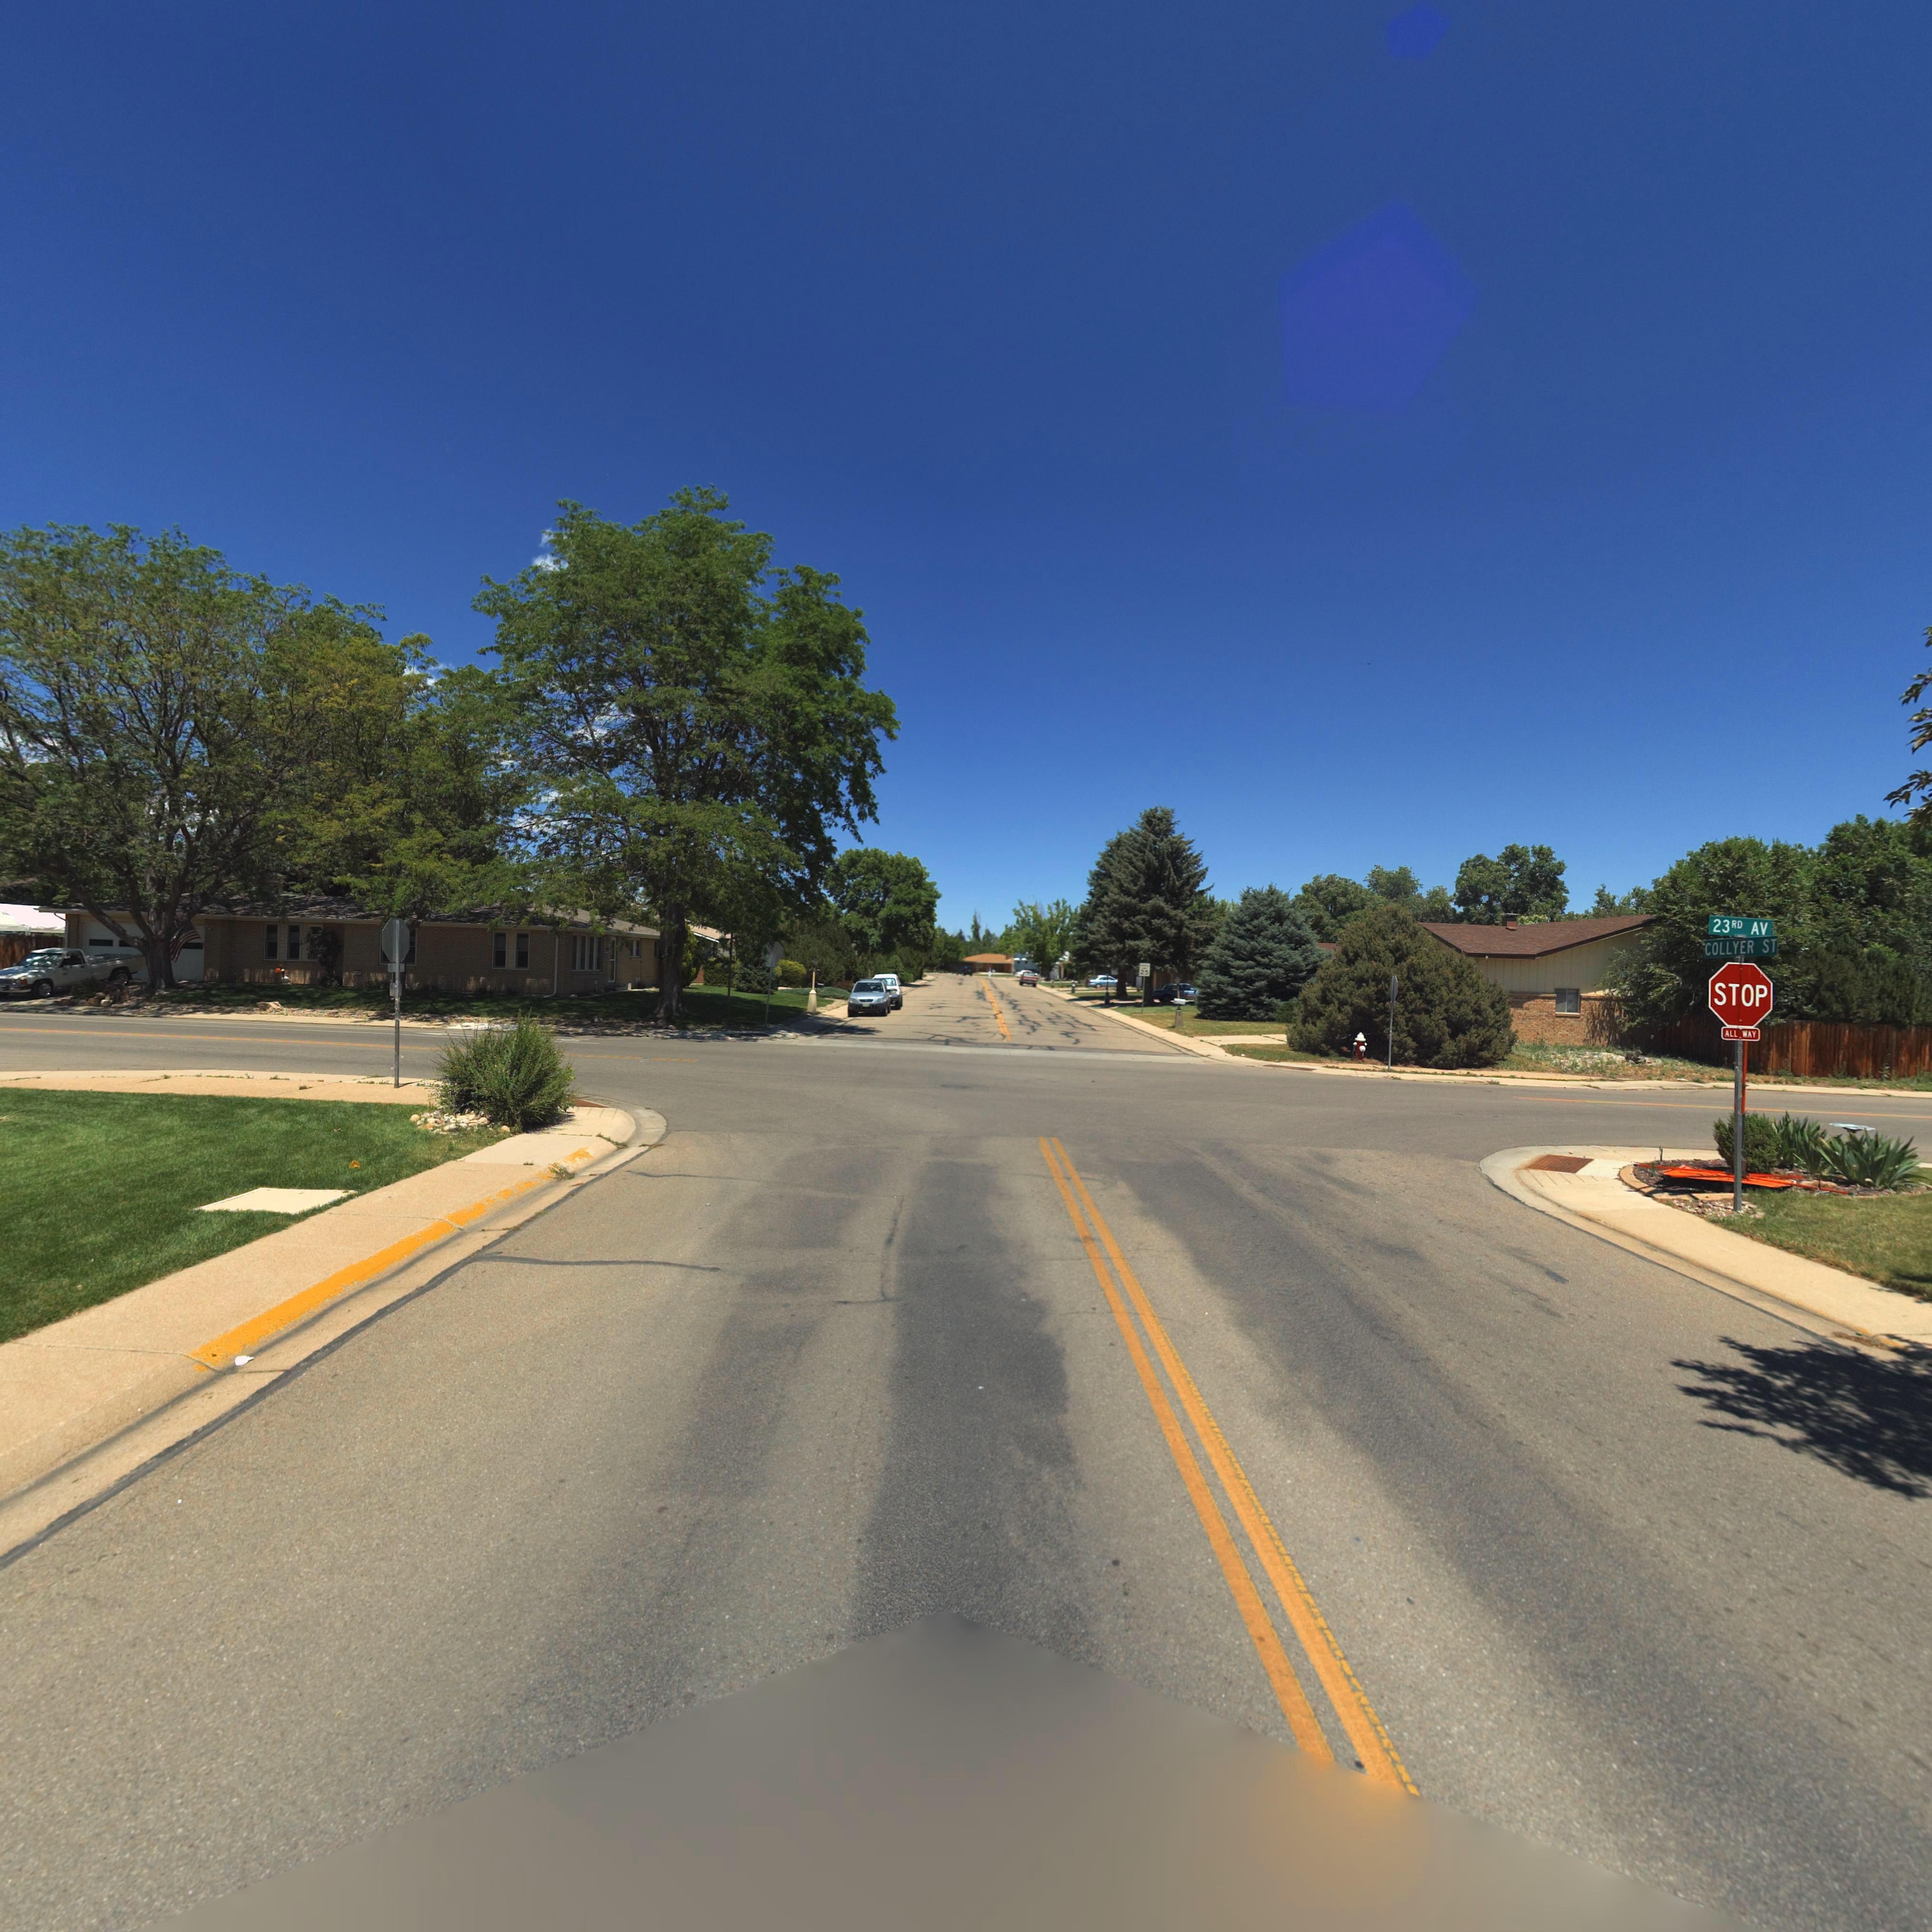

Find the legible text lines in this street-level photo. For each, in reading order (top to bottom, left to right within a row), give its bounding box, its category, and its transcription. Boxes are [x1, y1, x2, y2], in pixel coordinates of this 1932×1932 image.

[1711, 918, 1769, 937] BusinessName: 23RD AV
[1705, 938, 1777, 956] StreetName: COLLYER ST